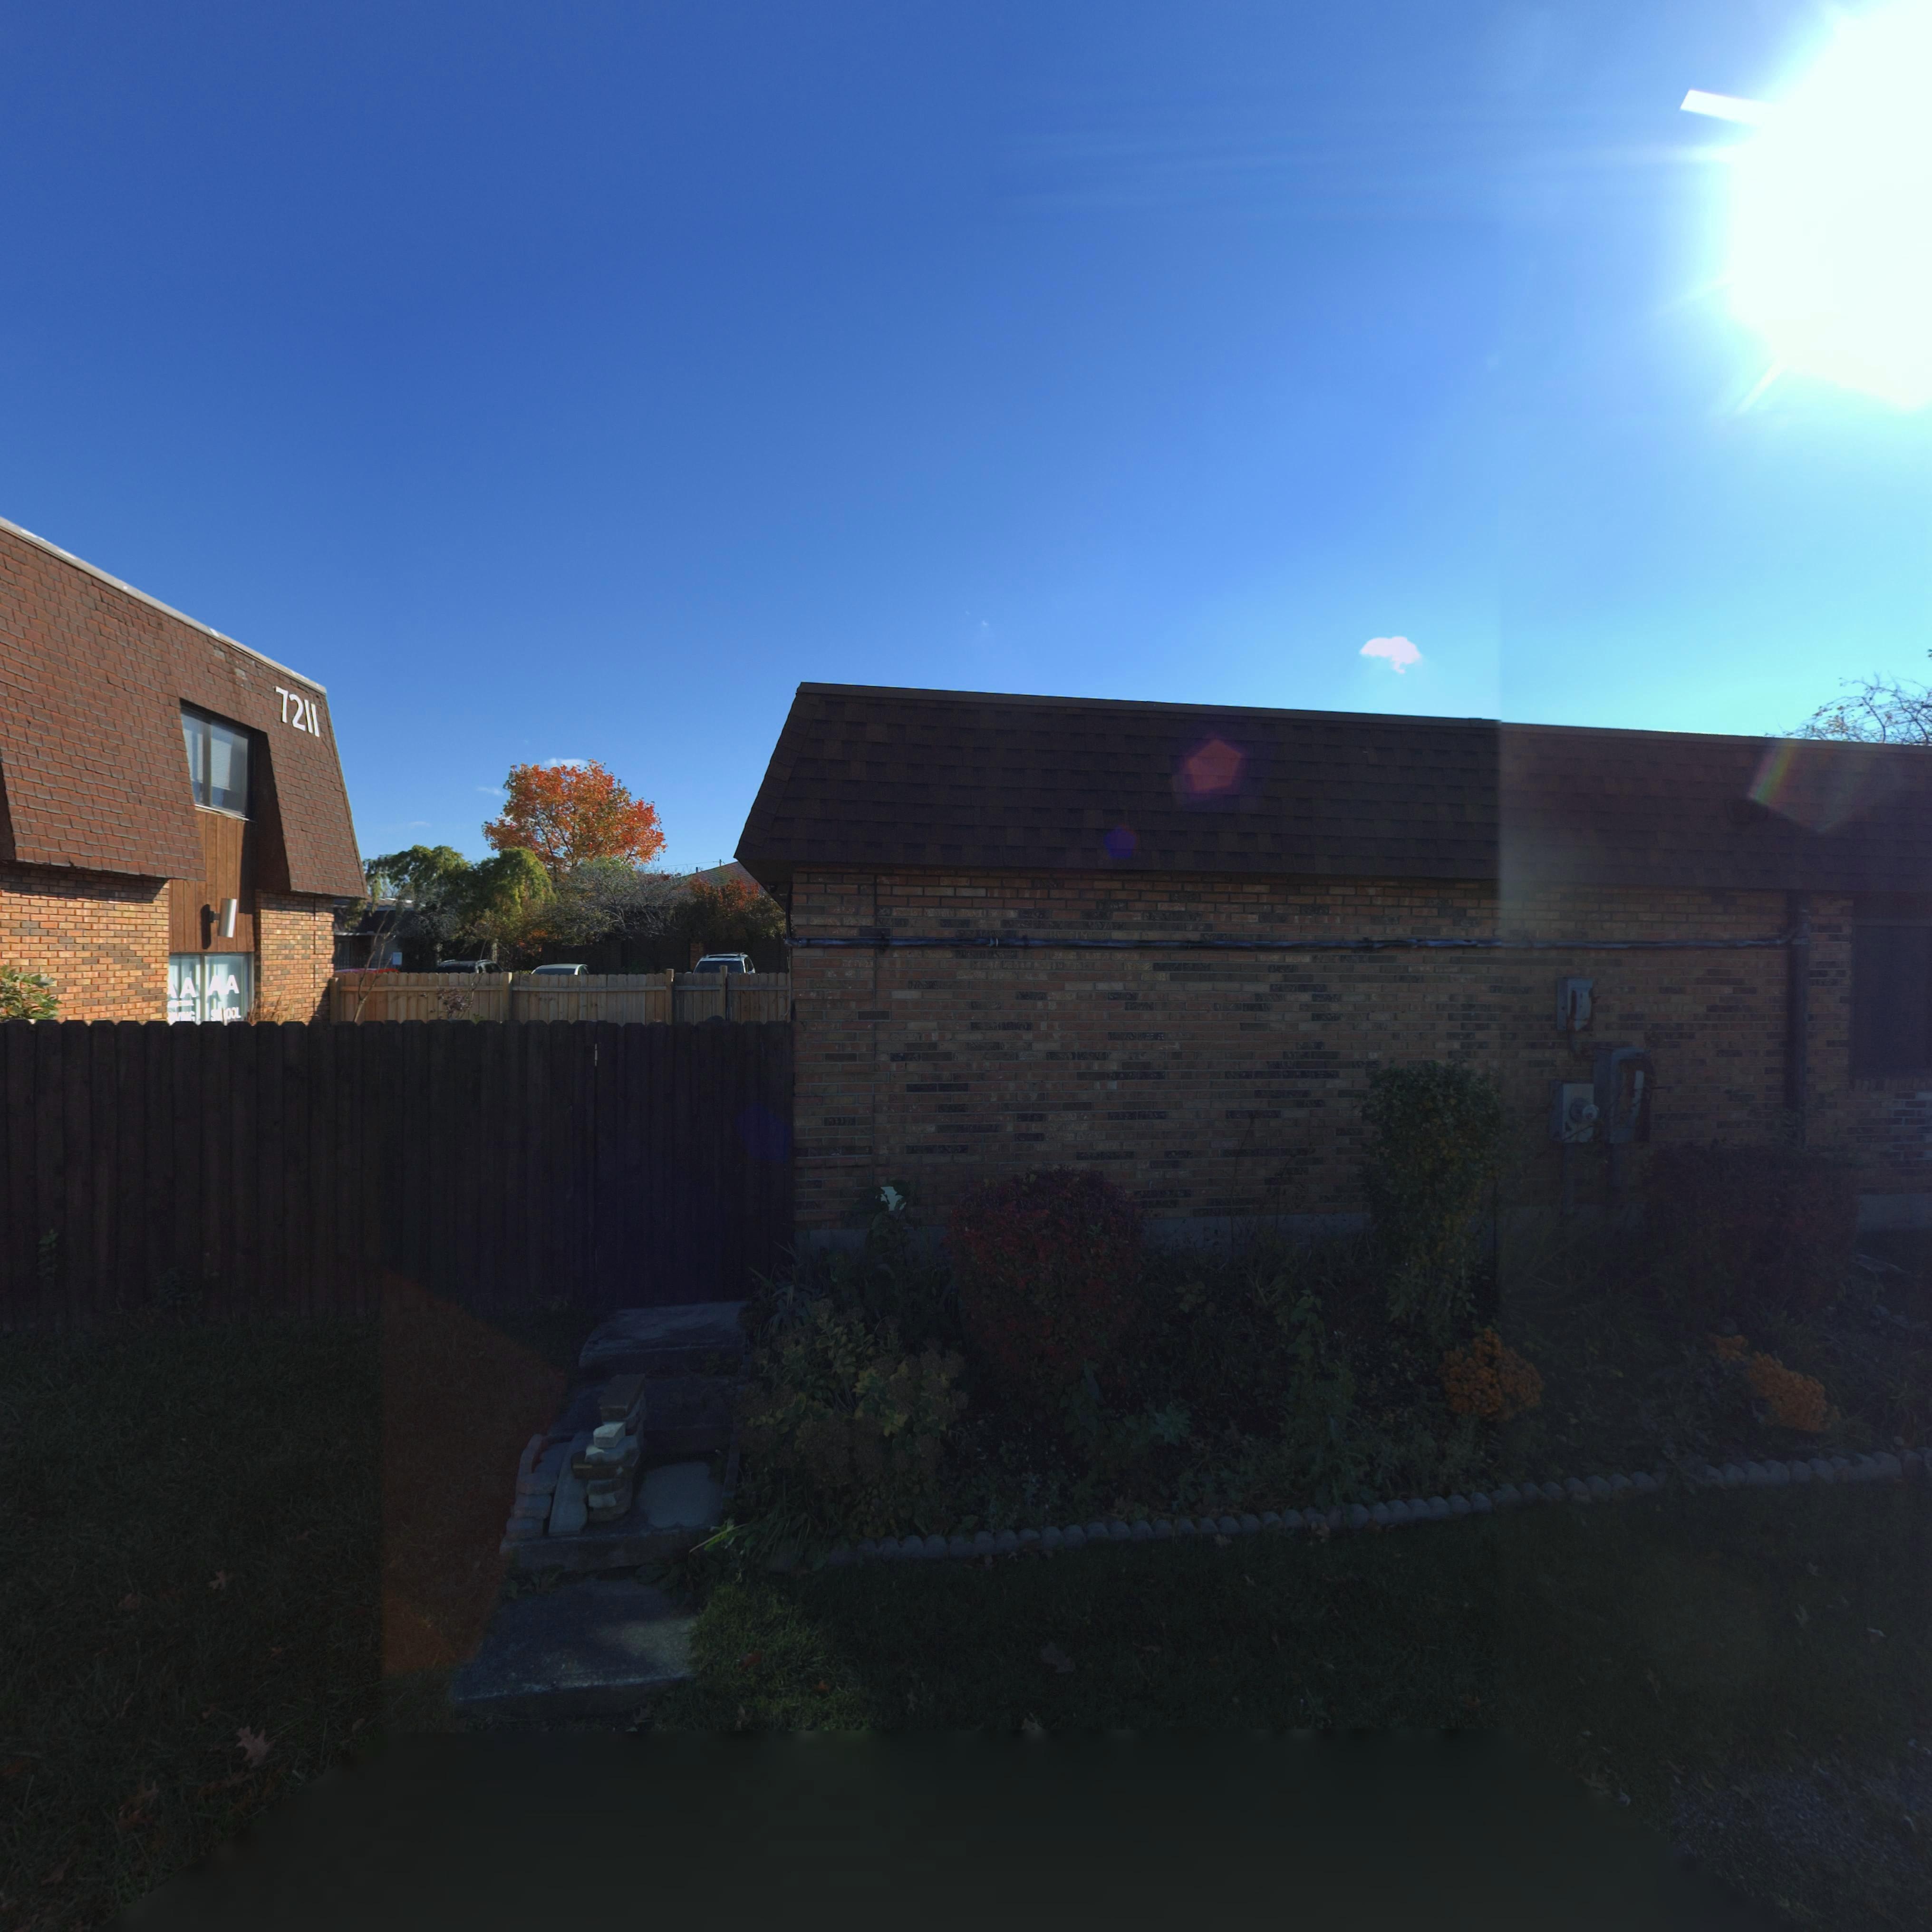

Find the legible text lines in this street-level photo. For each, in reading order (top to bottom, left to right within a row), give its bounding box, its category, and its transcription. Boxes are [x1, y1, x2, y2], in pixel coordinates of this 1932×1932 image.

[274, 685, 320, 739] StreetNumber: 7211